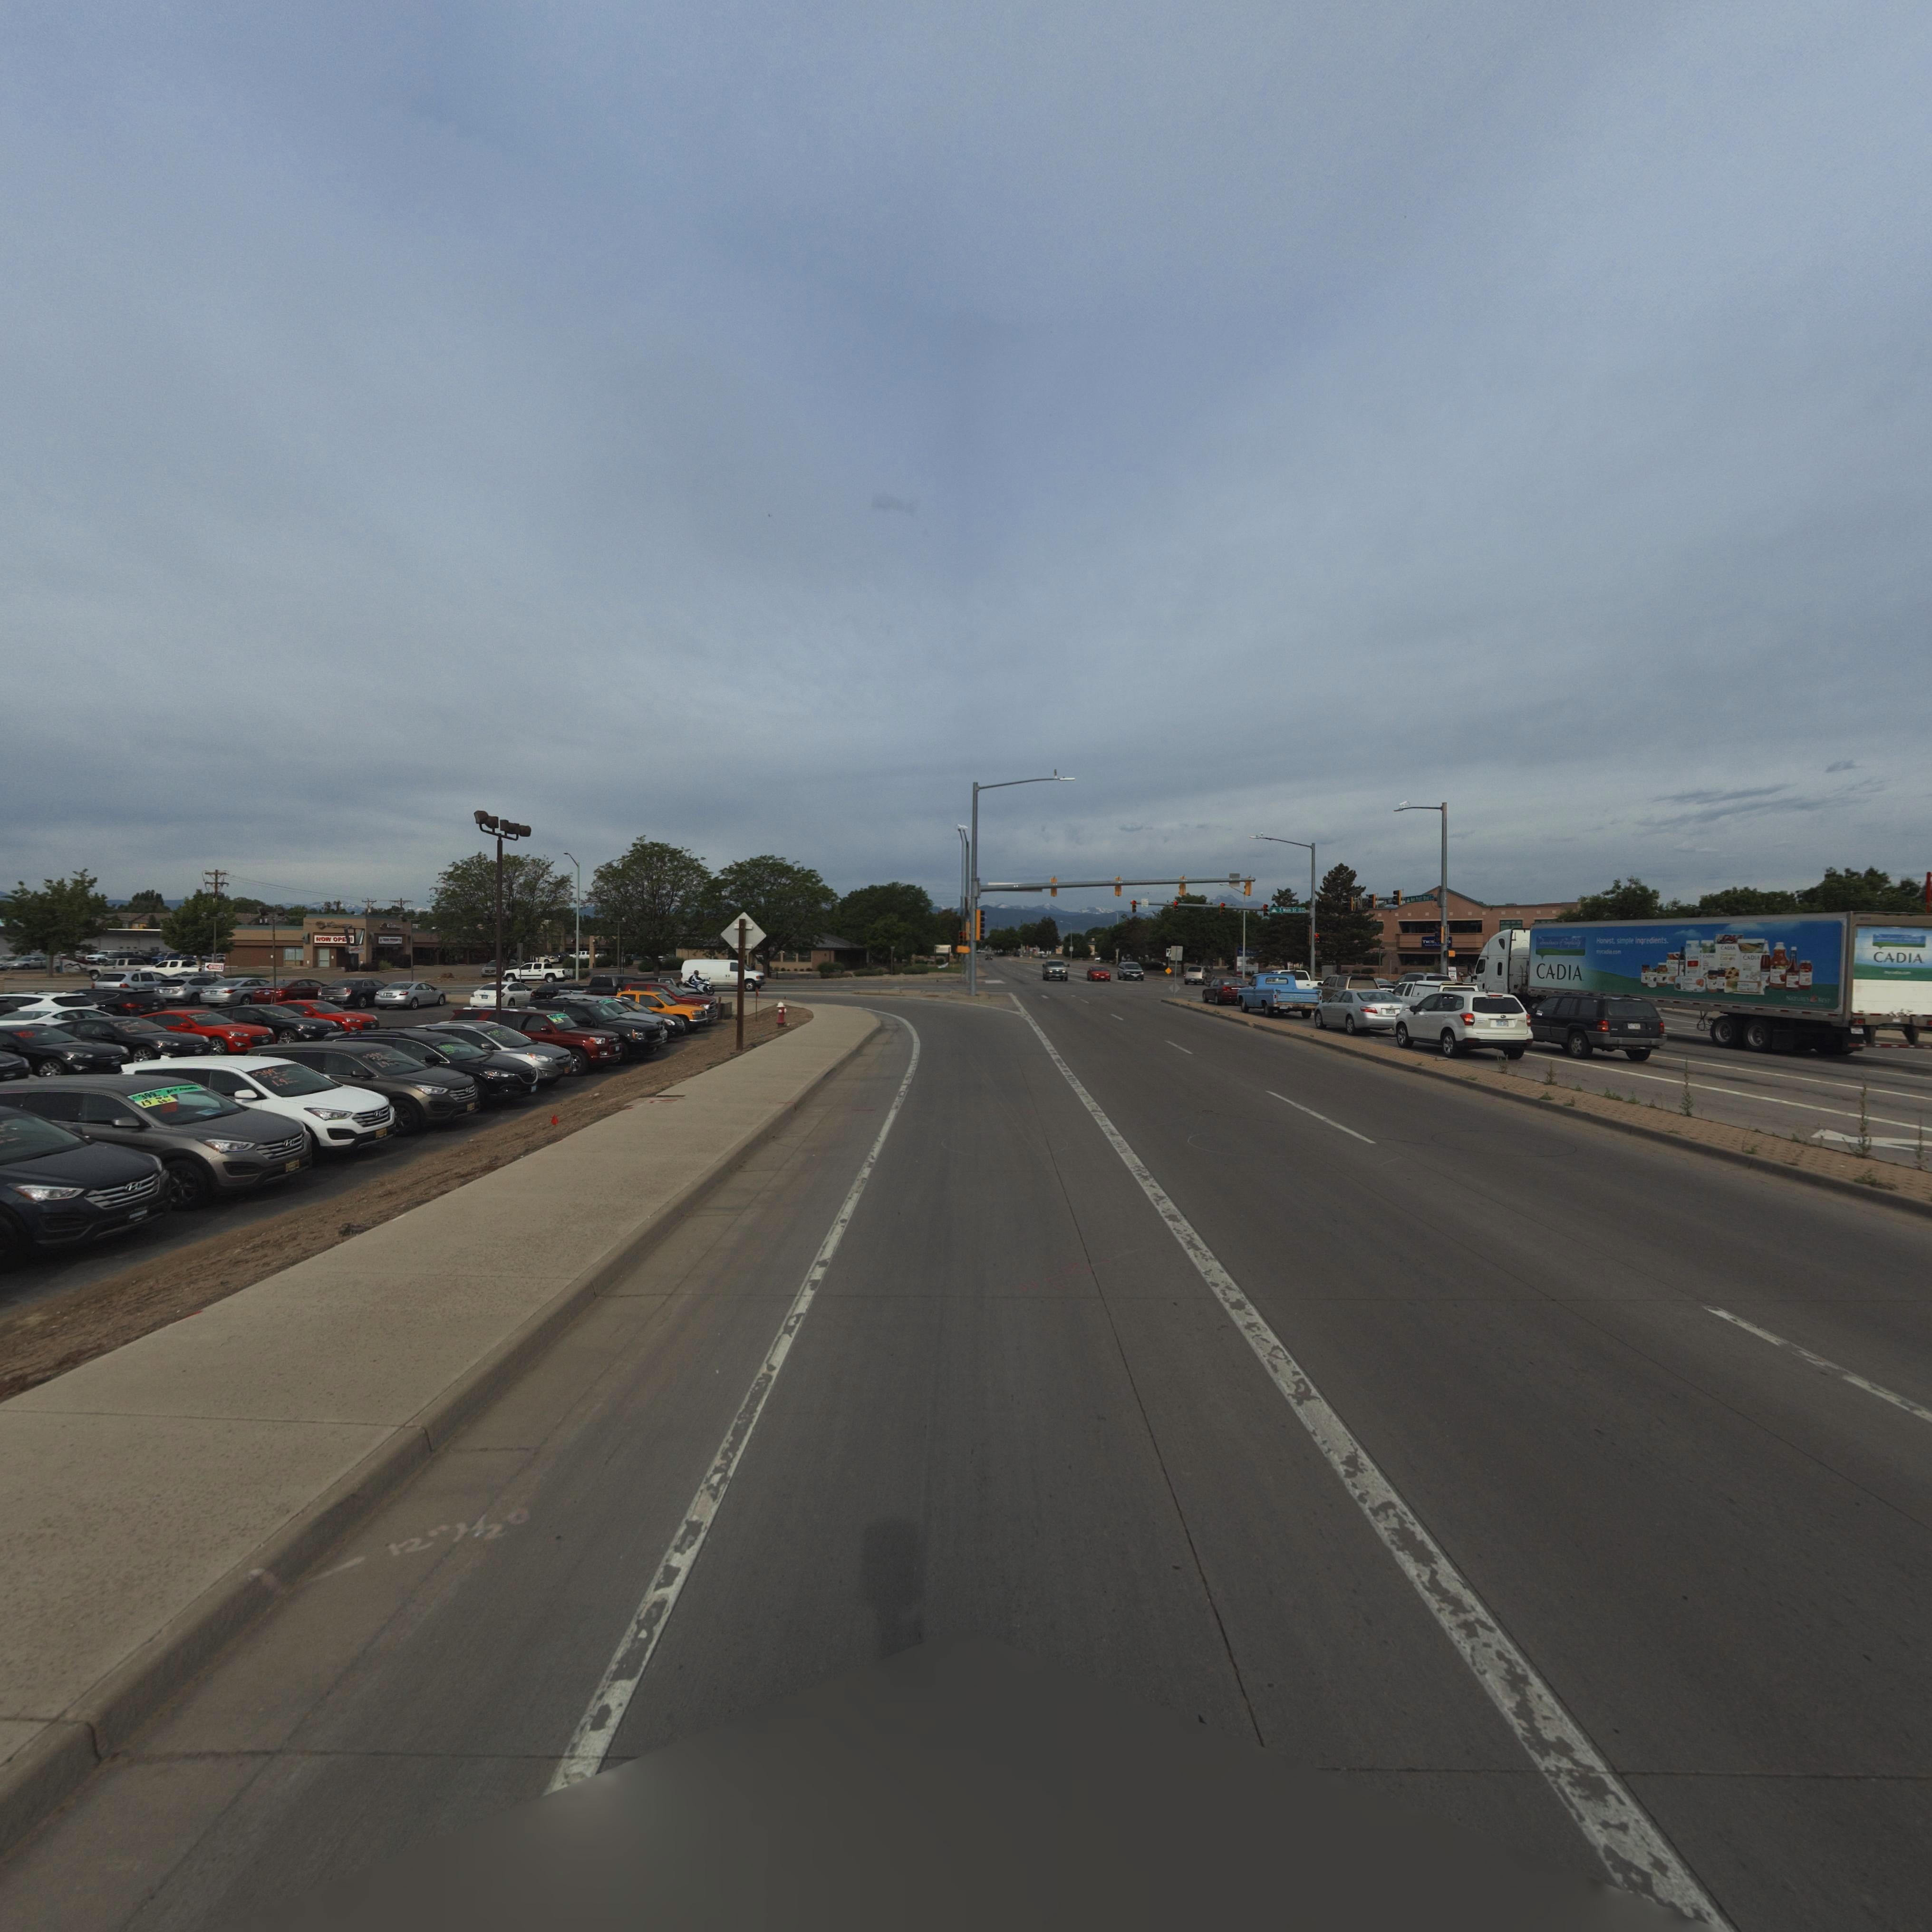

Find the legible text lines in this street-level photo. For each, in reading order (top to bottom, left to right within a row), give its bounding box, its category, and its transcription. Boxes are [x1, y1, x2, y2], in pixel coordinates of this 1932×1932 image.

[1410, 895, 1429, 902] StreetName: K** P**tt Blvd
[1278, 908, 1296, 912] StreetName: S Main St
[1422, 939, 1451, 944] BusinessName: T*******
[348, 947, 359, 952] BusinessName: G*********
[1238, 949, 1257, 954] BusinessName: t***S***